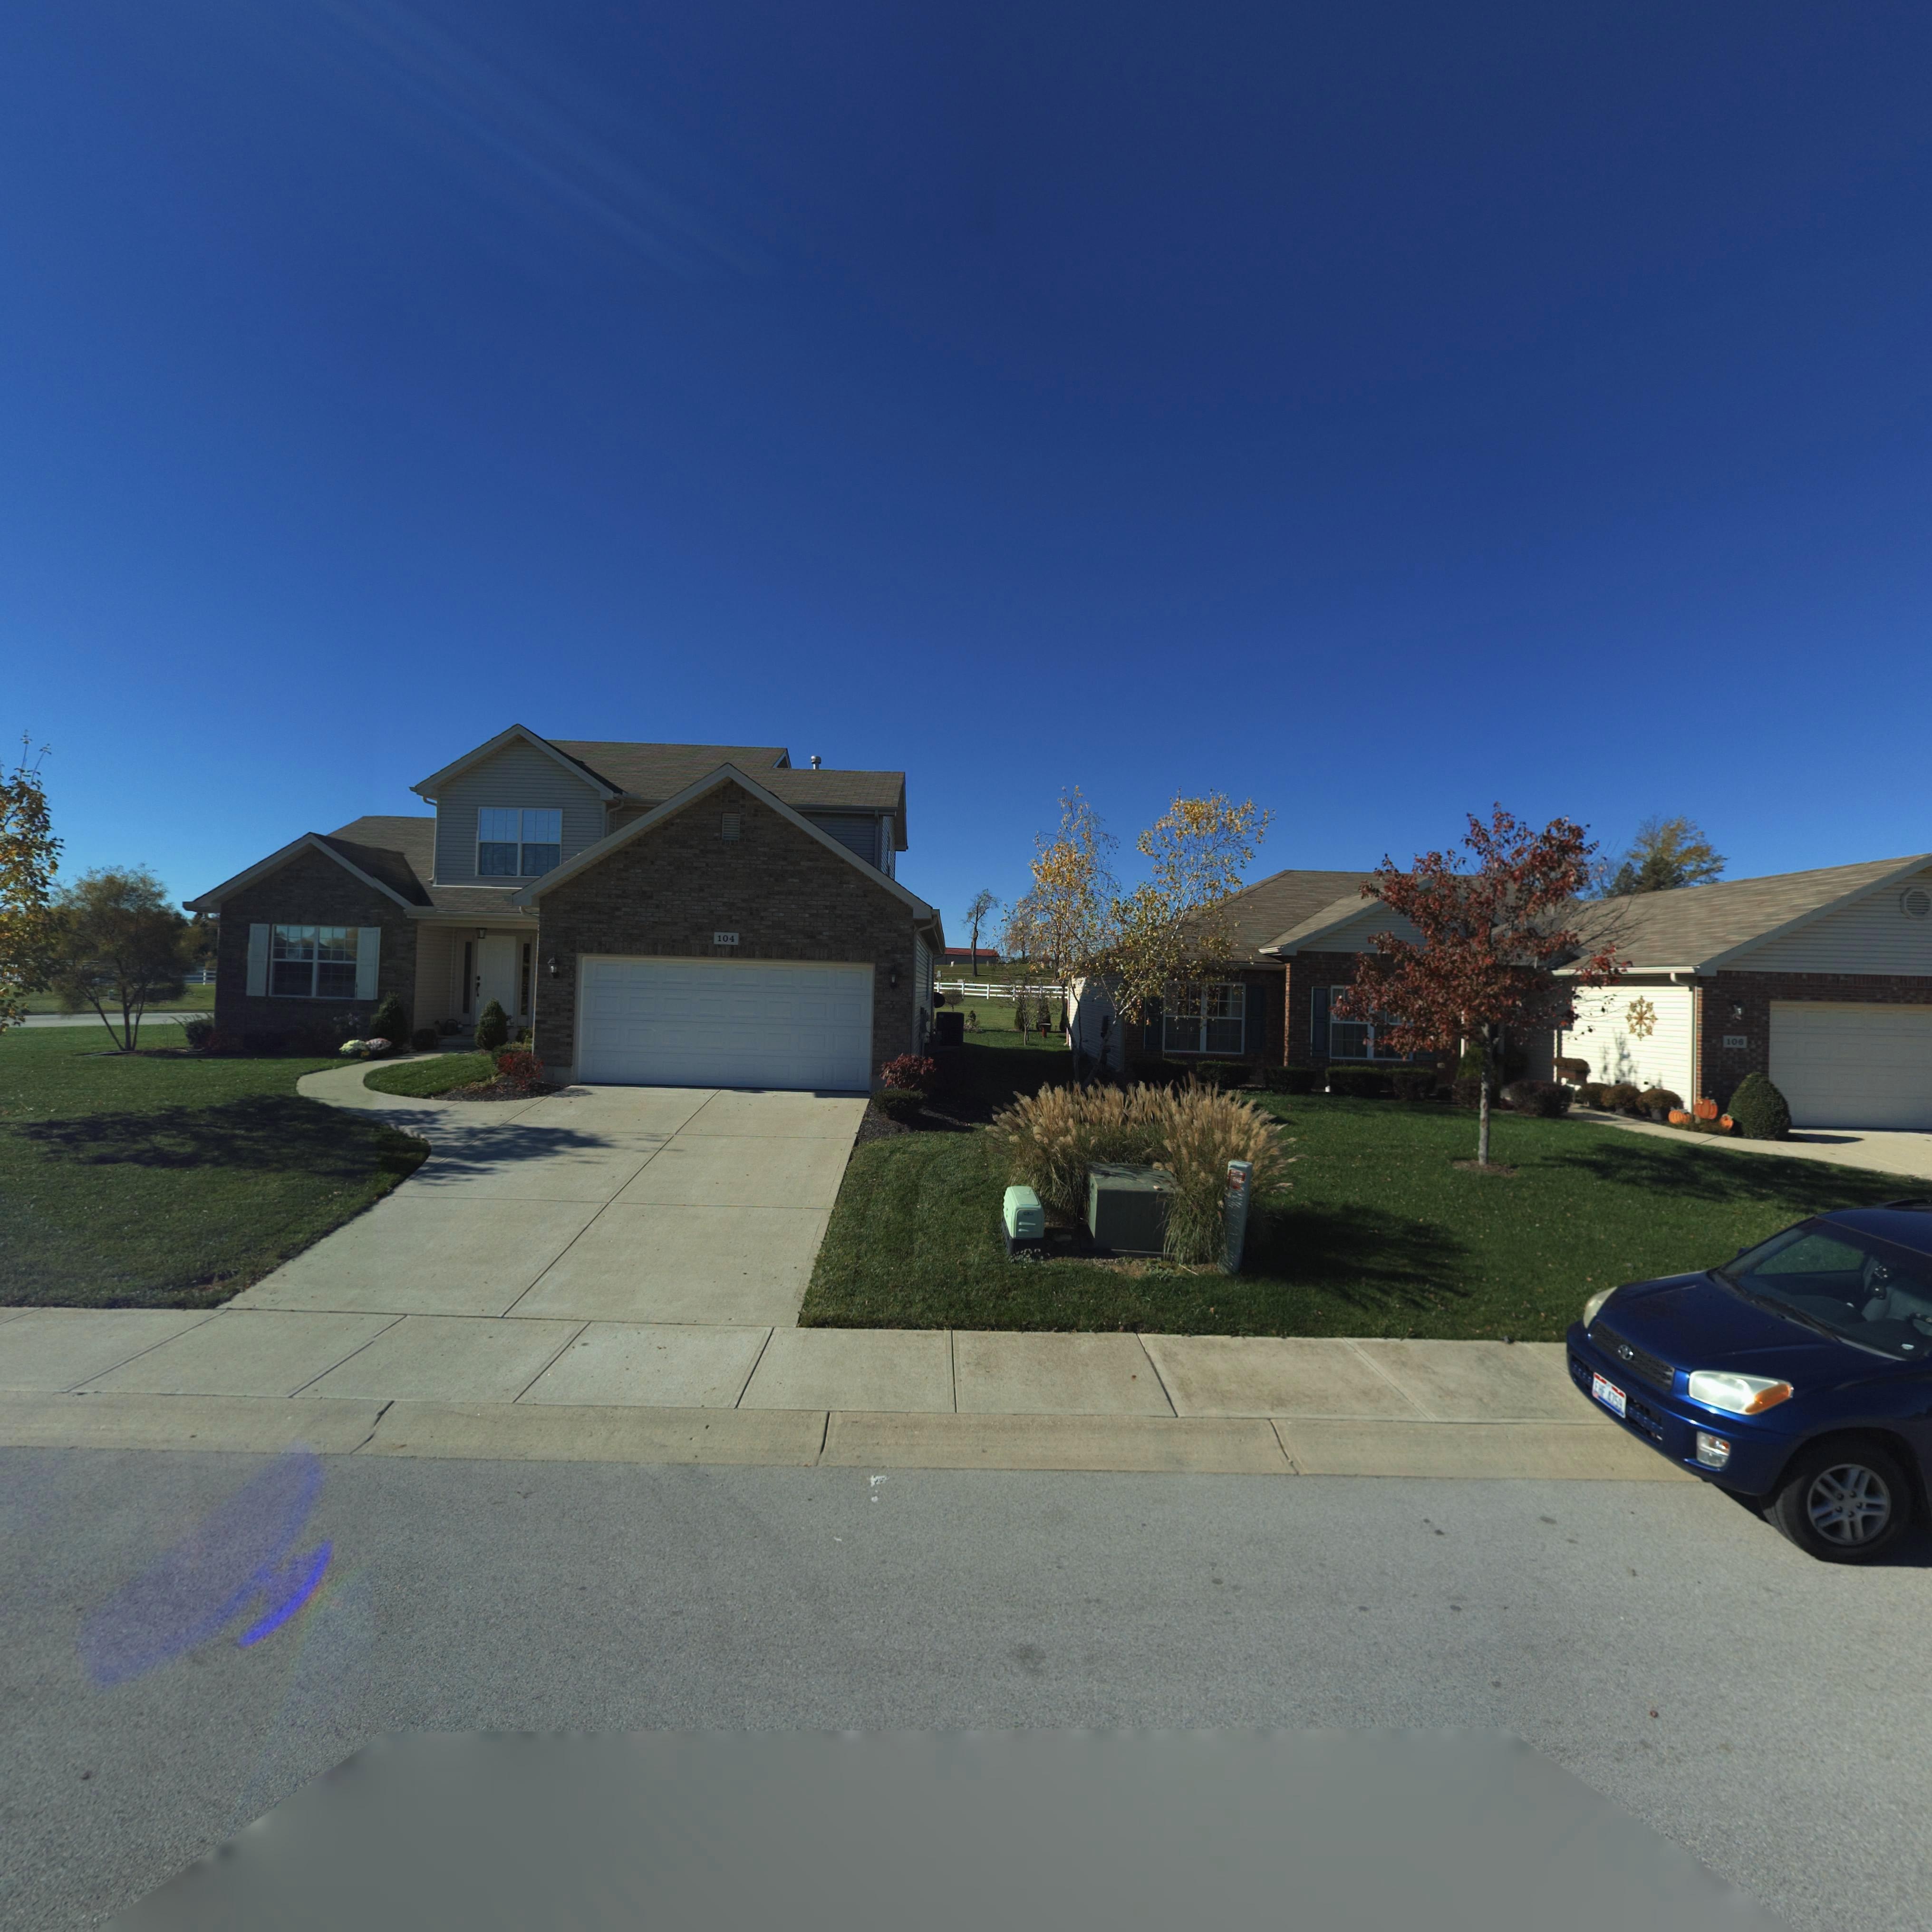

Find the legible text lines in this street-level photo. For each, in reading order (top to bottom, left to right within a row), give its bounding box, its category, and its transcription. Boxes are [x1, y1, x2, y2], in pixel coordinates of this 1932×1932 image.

[716, 933, 736, 944] StreetNumber: 104
[1725, 1036, 1746, 1047] StreetNumber: 106